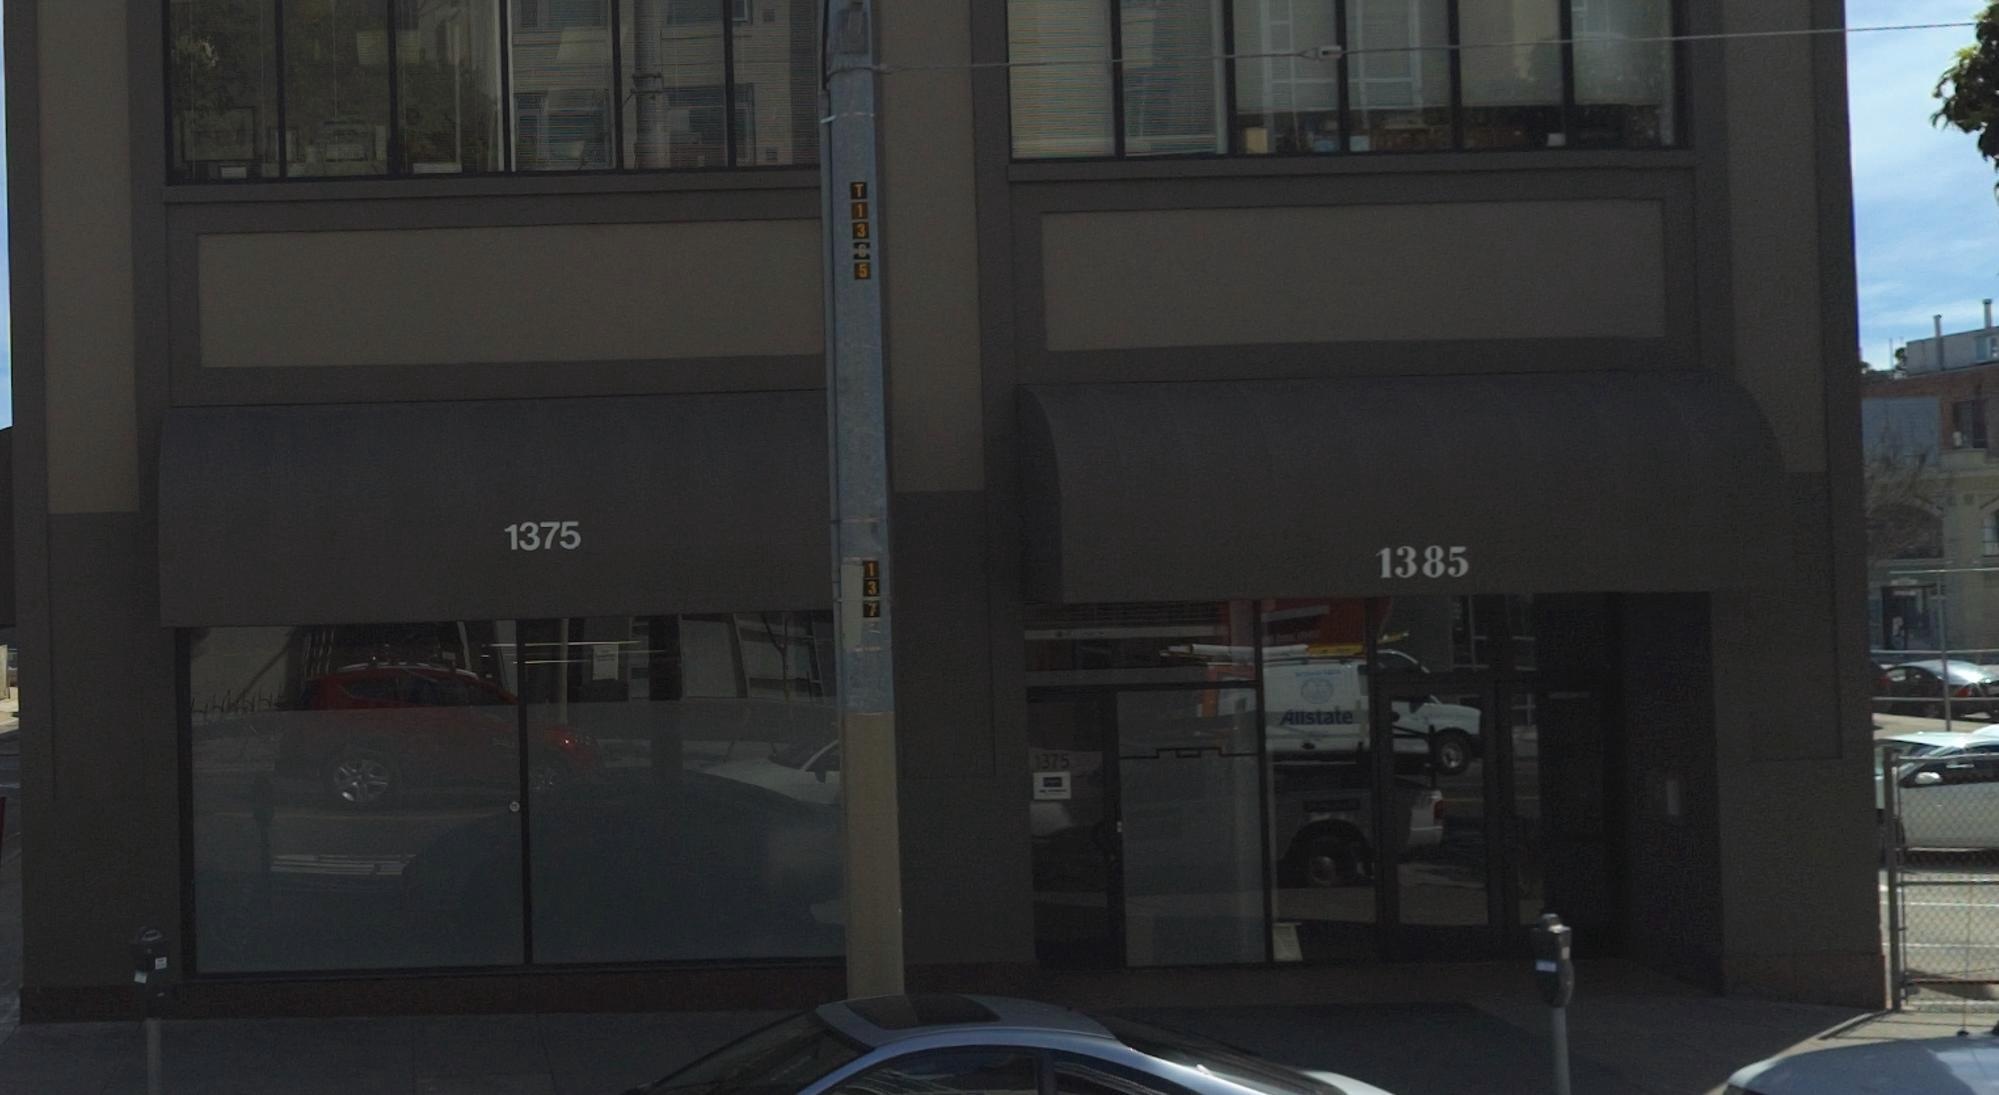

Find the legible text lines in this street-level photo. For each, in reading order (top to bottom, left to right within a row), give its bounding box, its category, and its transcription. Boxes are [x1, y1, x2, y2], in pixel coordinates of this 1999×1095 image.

[850, 181, 872, 282] None: T13*5
[500, 516, 585, 555] StreetNumber: 1375
[1373, 541, 1474, 583] StreetNumber: 1385
[864, 561, 880, 620] None: 137
[1277, 705, 1355, 728] None: Allstate
[1038, 750, 1072, 773] None: 375